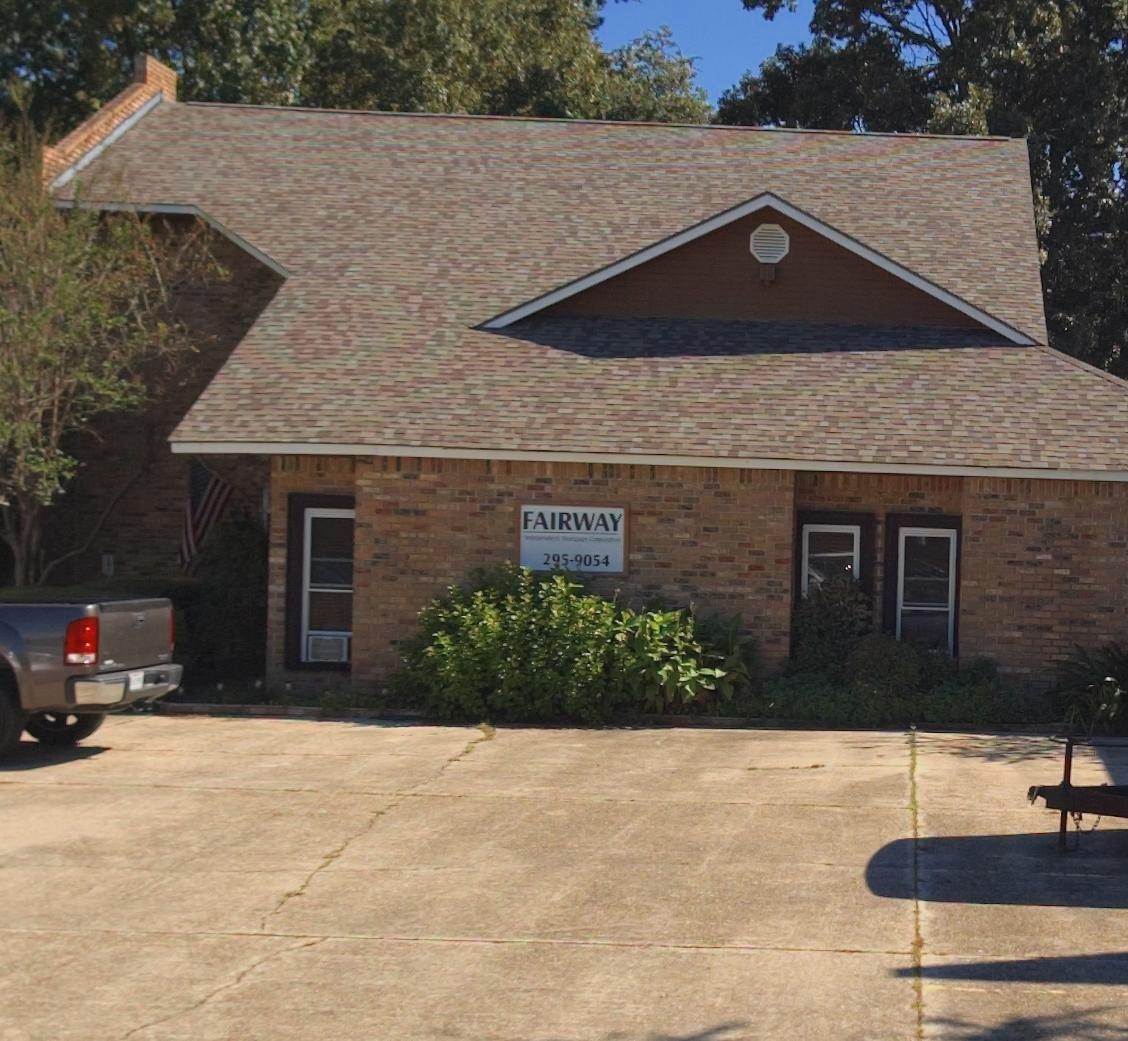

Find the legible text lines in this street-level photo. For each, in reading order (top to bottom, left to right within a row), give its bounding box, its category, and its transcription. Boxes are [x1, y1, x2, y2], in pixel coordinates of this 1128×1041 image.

[522, 509, 625, 533] BusinessName: FAIRWAY
[541, 551, 613, 568] None: 2*5-9054